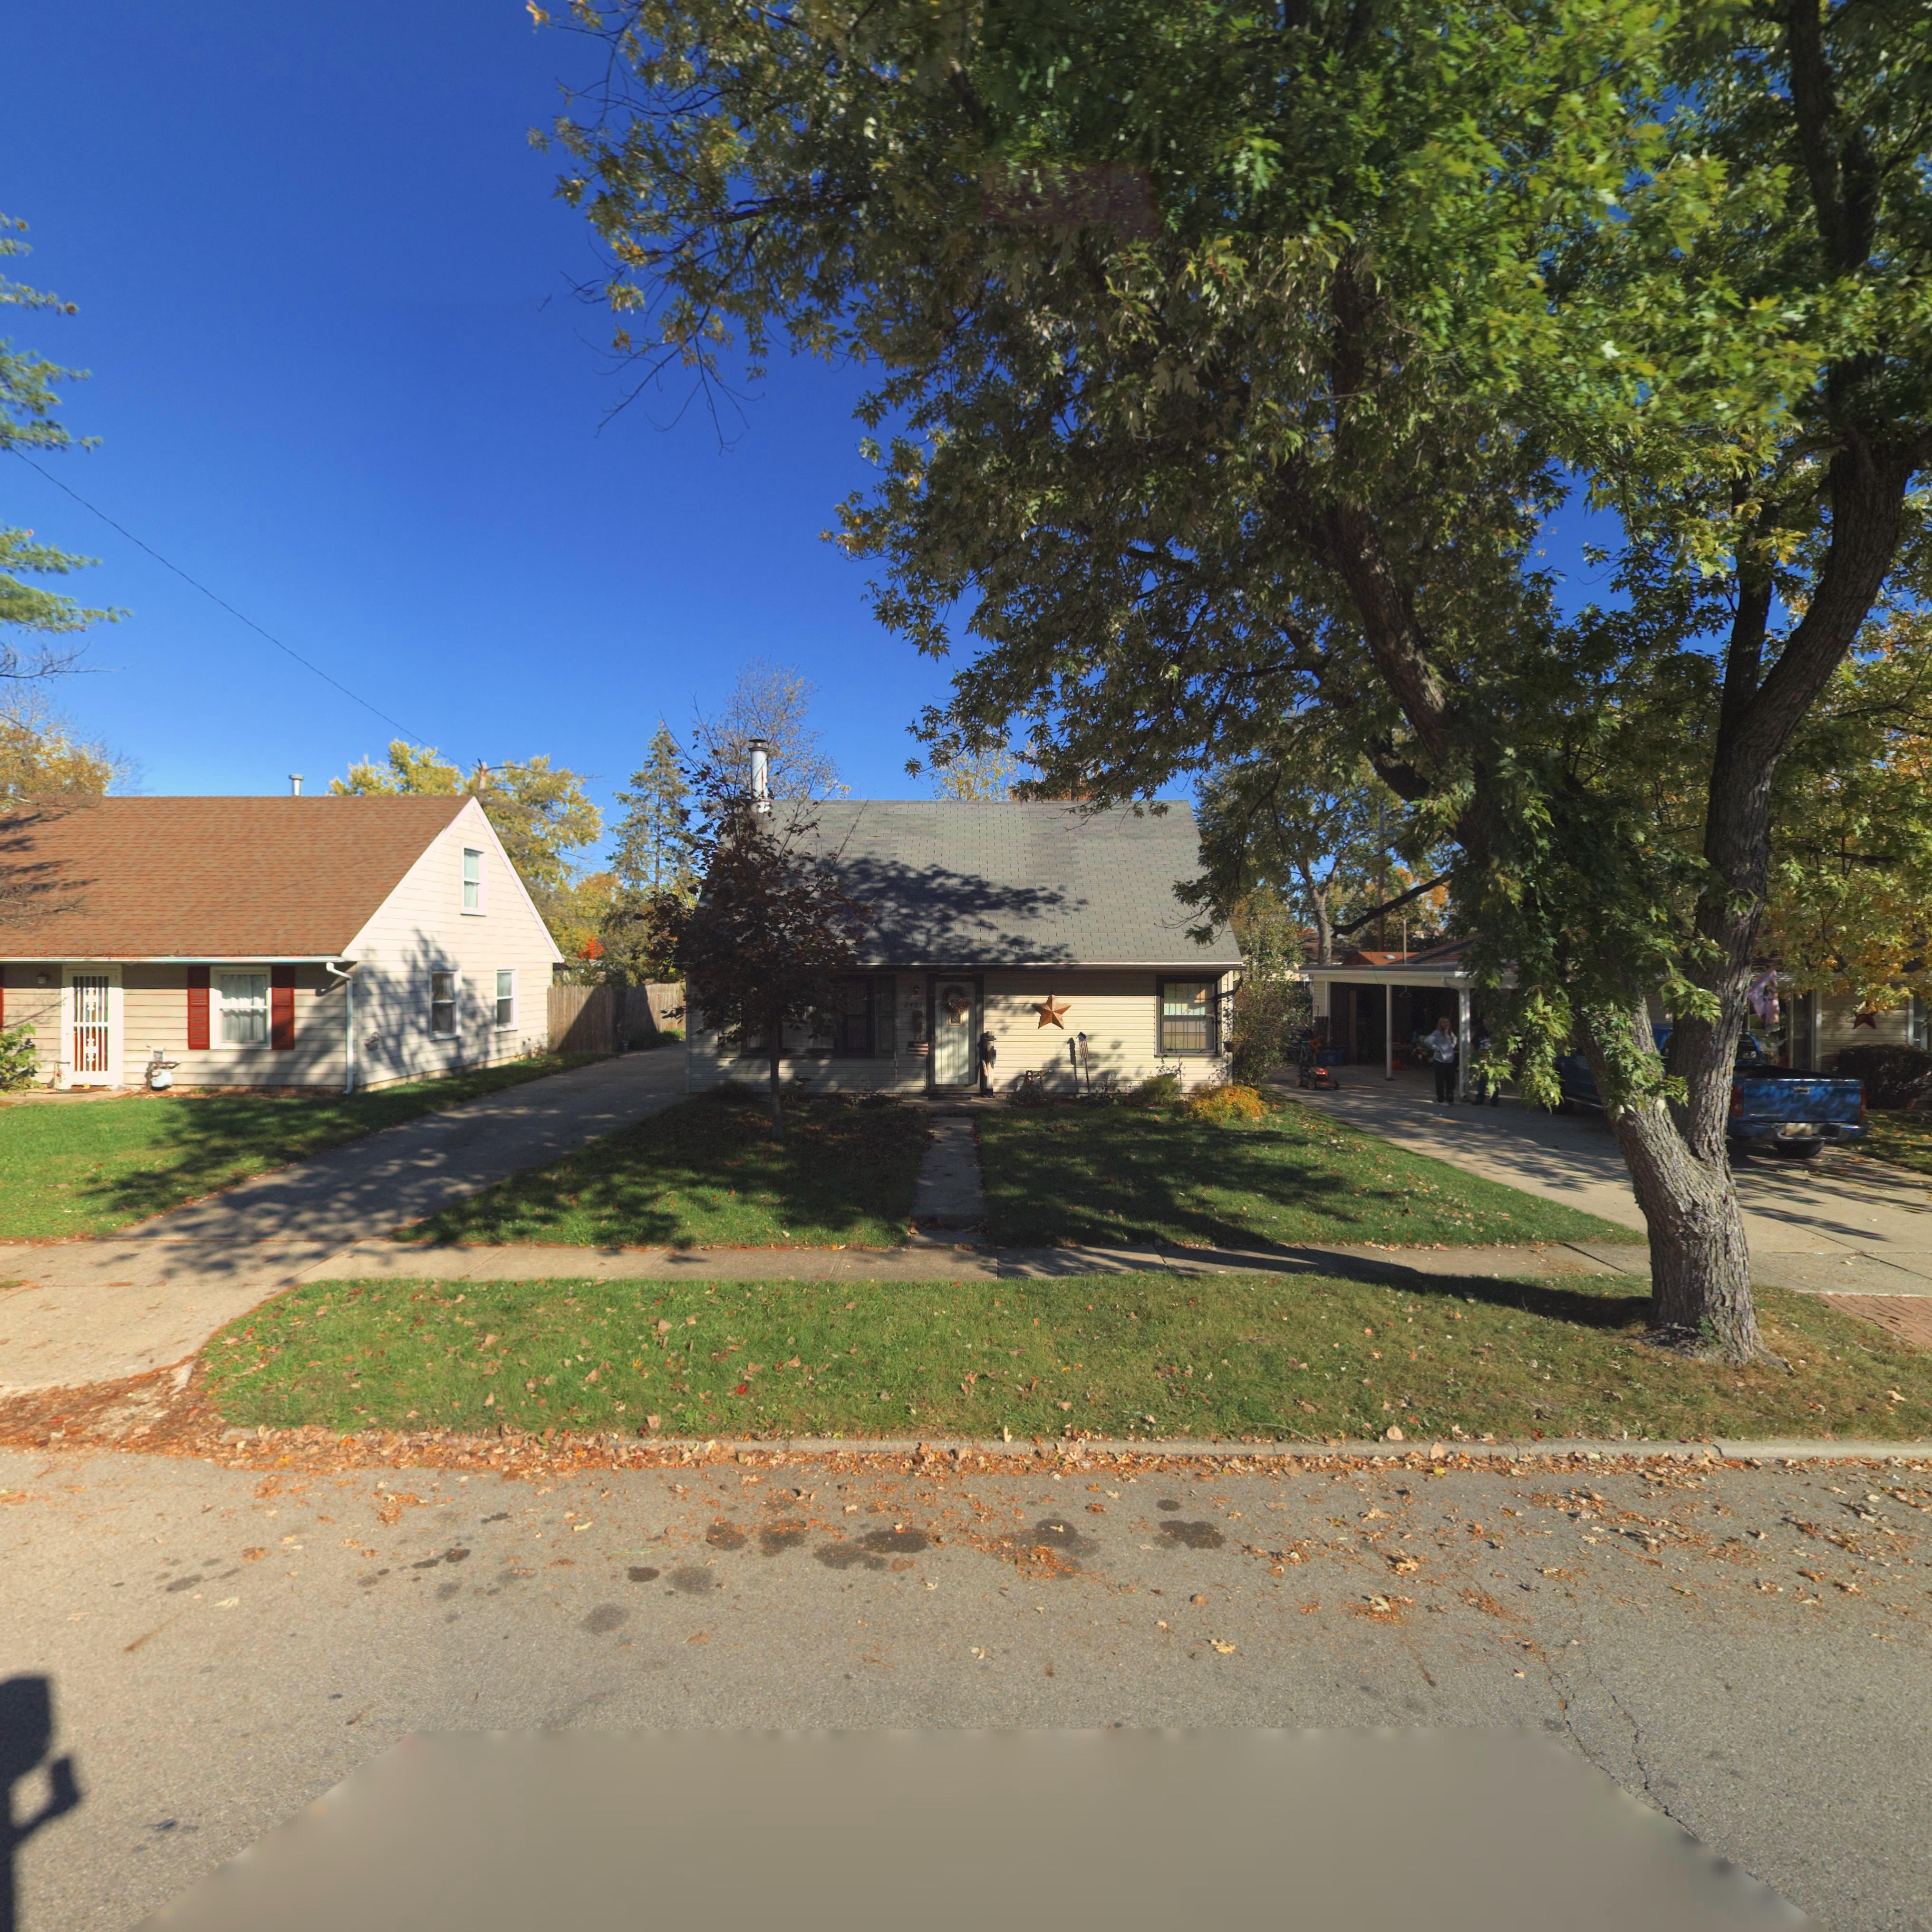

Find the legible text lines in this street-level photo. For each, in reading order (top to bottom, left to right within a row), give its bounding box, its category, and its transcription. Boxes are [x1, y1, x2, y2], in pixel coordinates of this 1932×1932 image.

[903, 1001, 923, 1009] StreetNumber: 2421